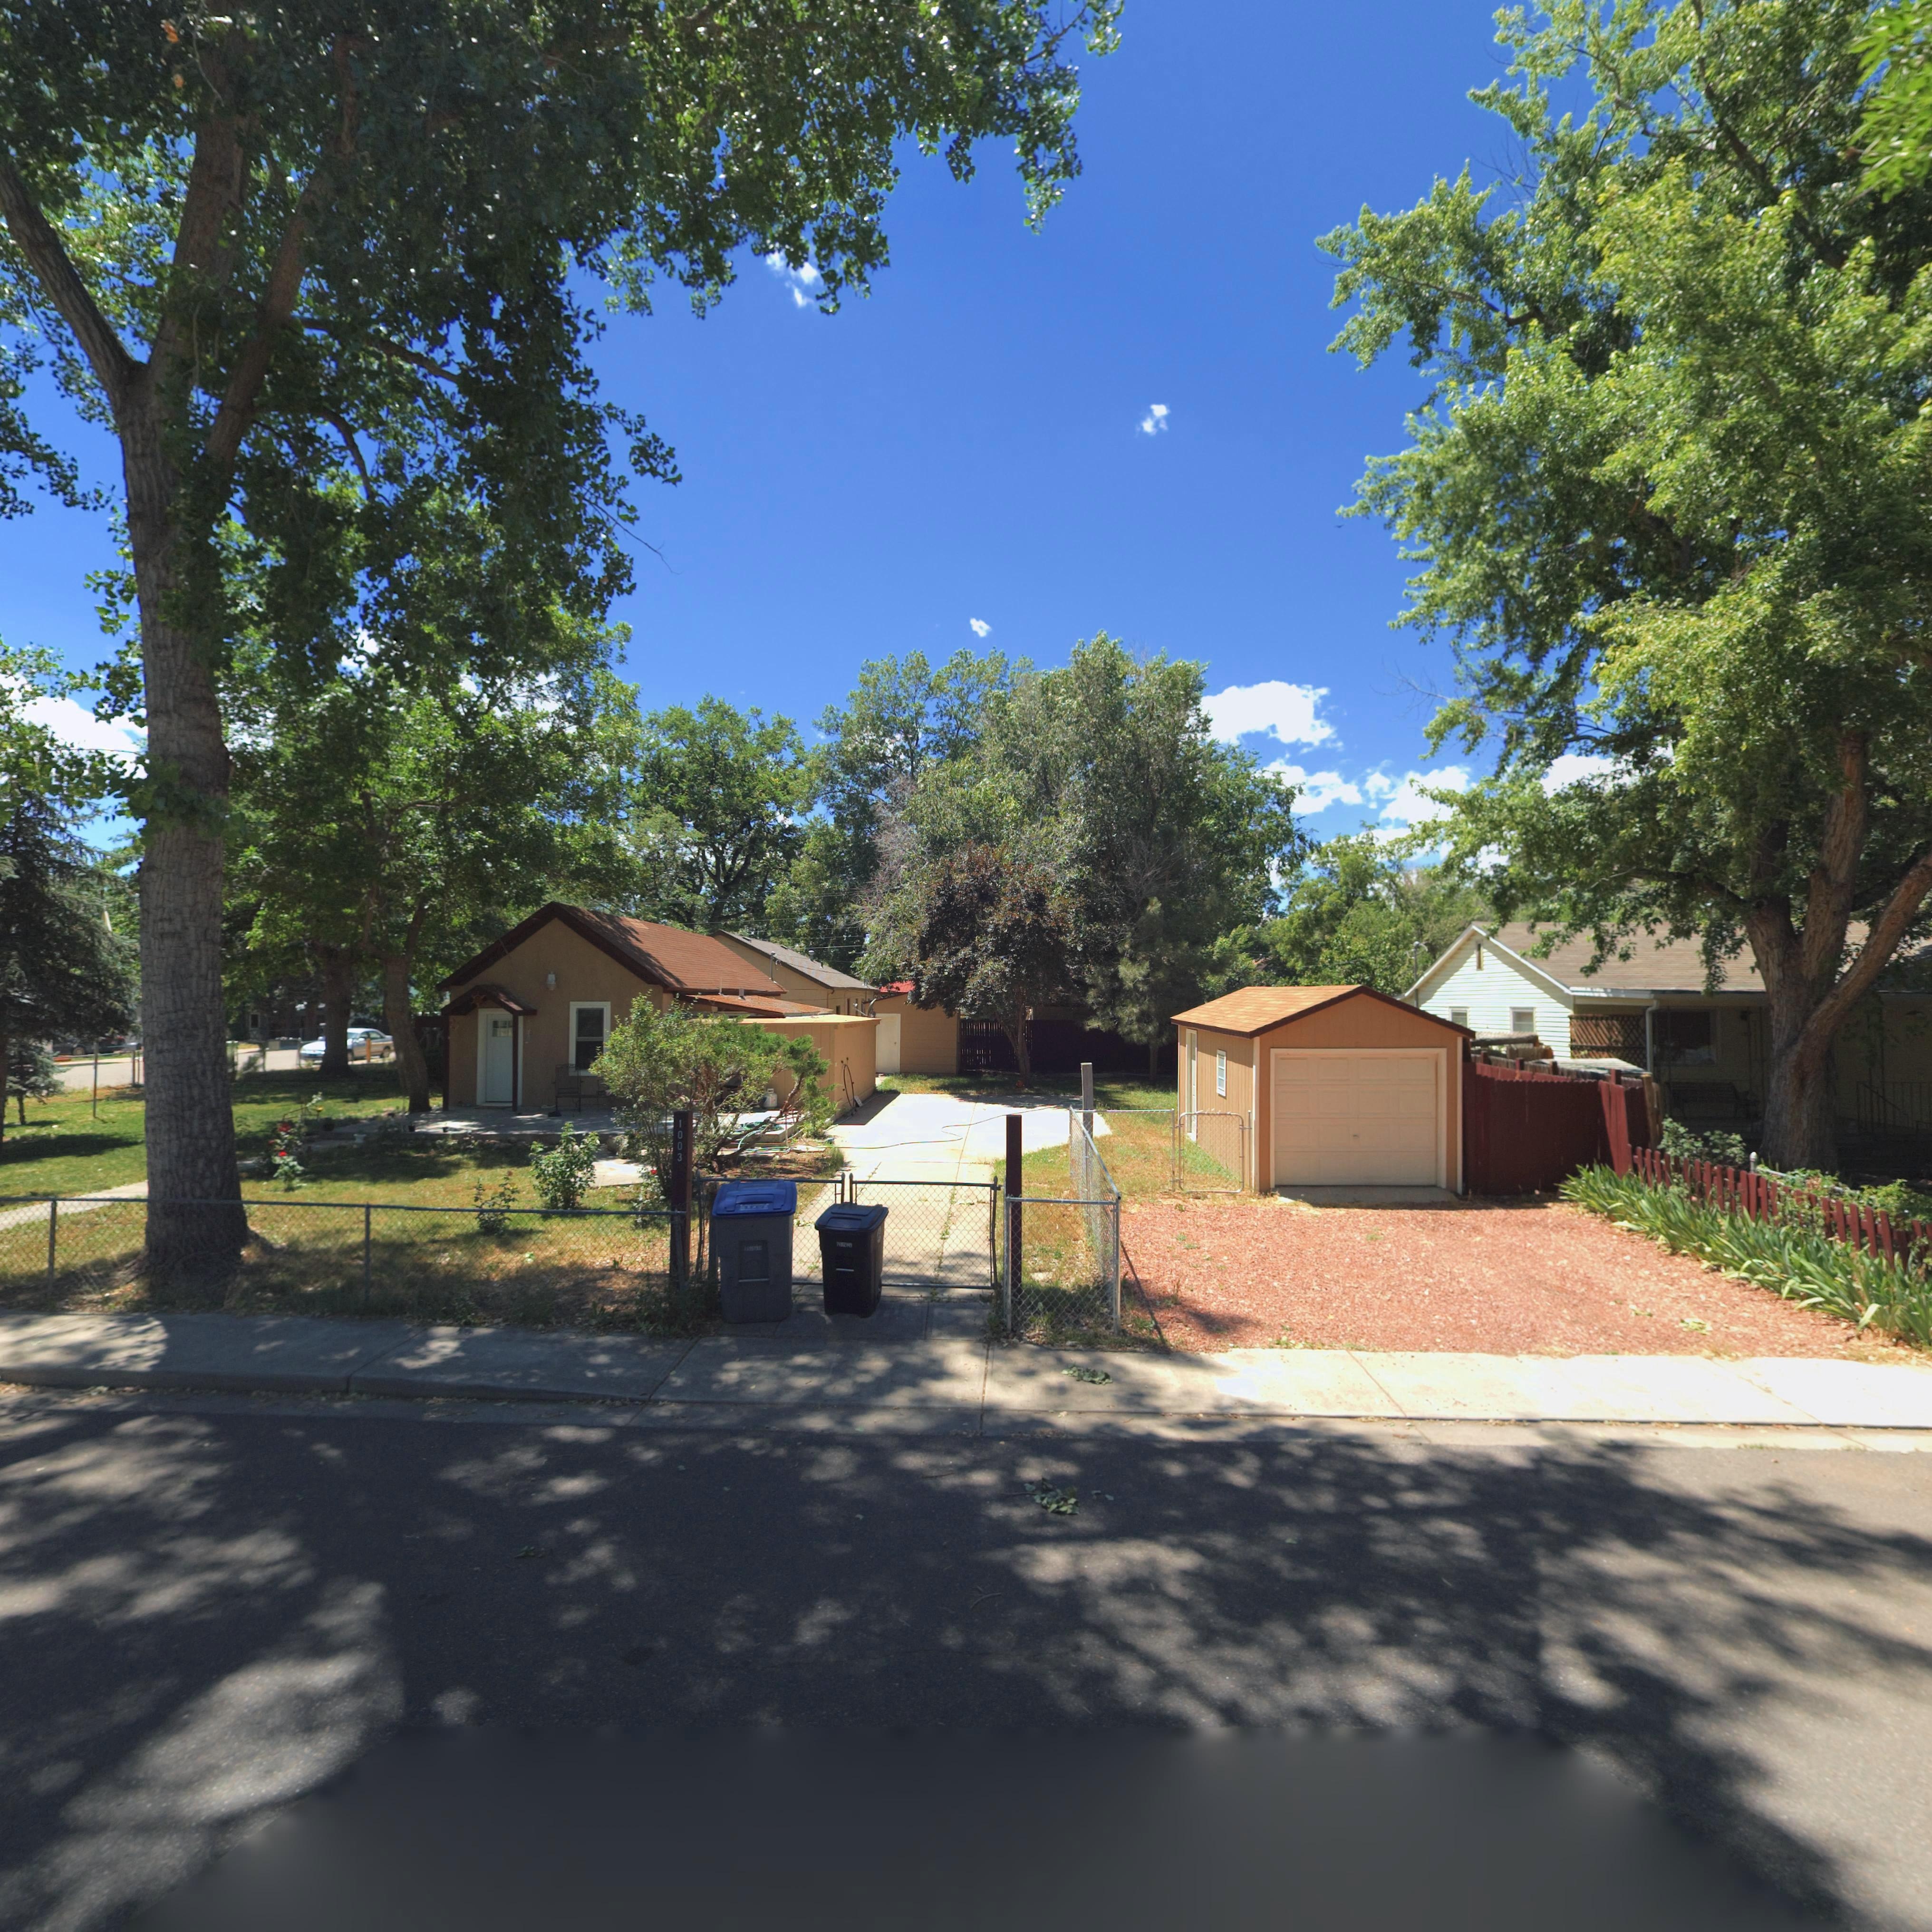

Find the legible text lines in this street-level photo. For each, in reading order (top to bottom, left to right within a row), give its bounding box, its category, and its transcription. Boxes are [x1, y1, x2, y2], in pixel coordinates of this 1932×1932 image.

[677, 1120, 682, 1161] StreetNumber: 1003